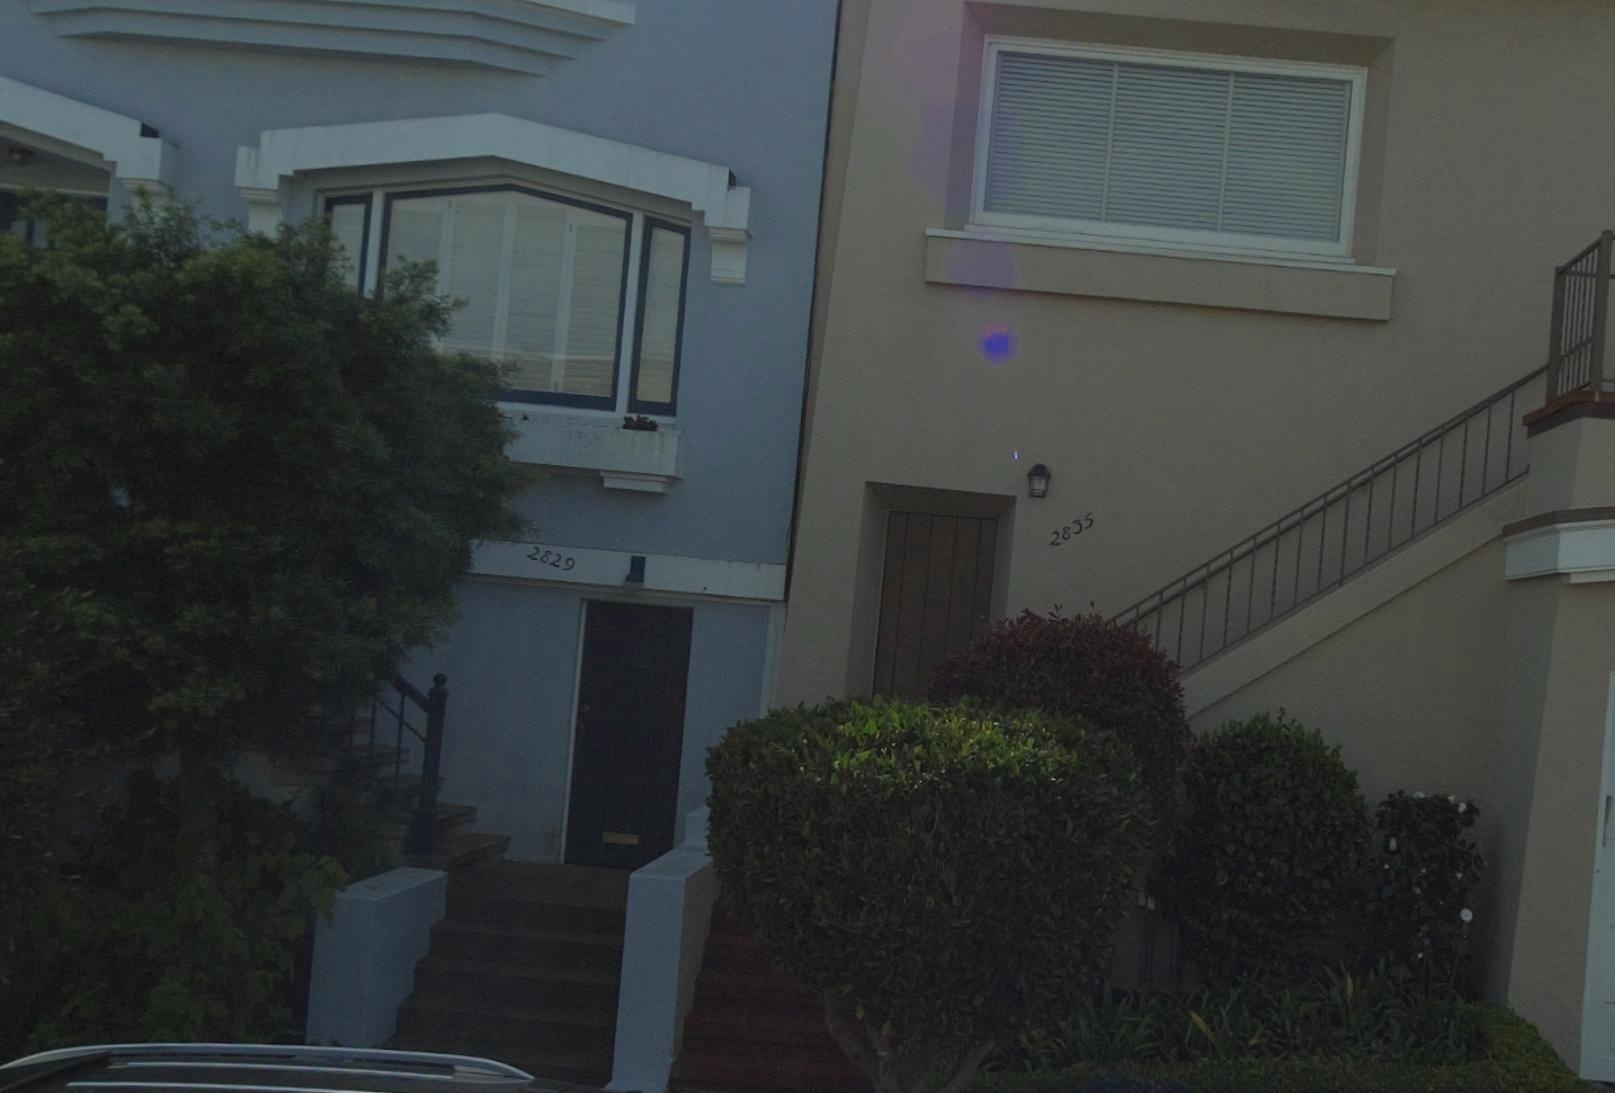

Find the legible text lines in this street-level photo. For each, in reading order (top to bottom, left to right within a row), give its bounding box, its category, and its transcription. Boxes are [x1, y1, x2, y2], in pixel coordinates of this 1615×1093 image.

[1048, 509, 1095, 550] StreetNumber: 2835
[522, 544, 577, 575] StreetNumber: 2829